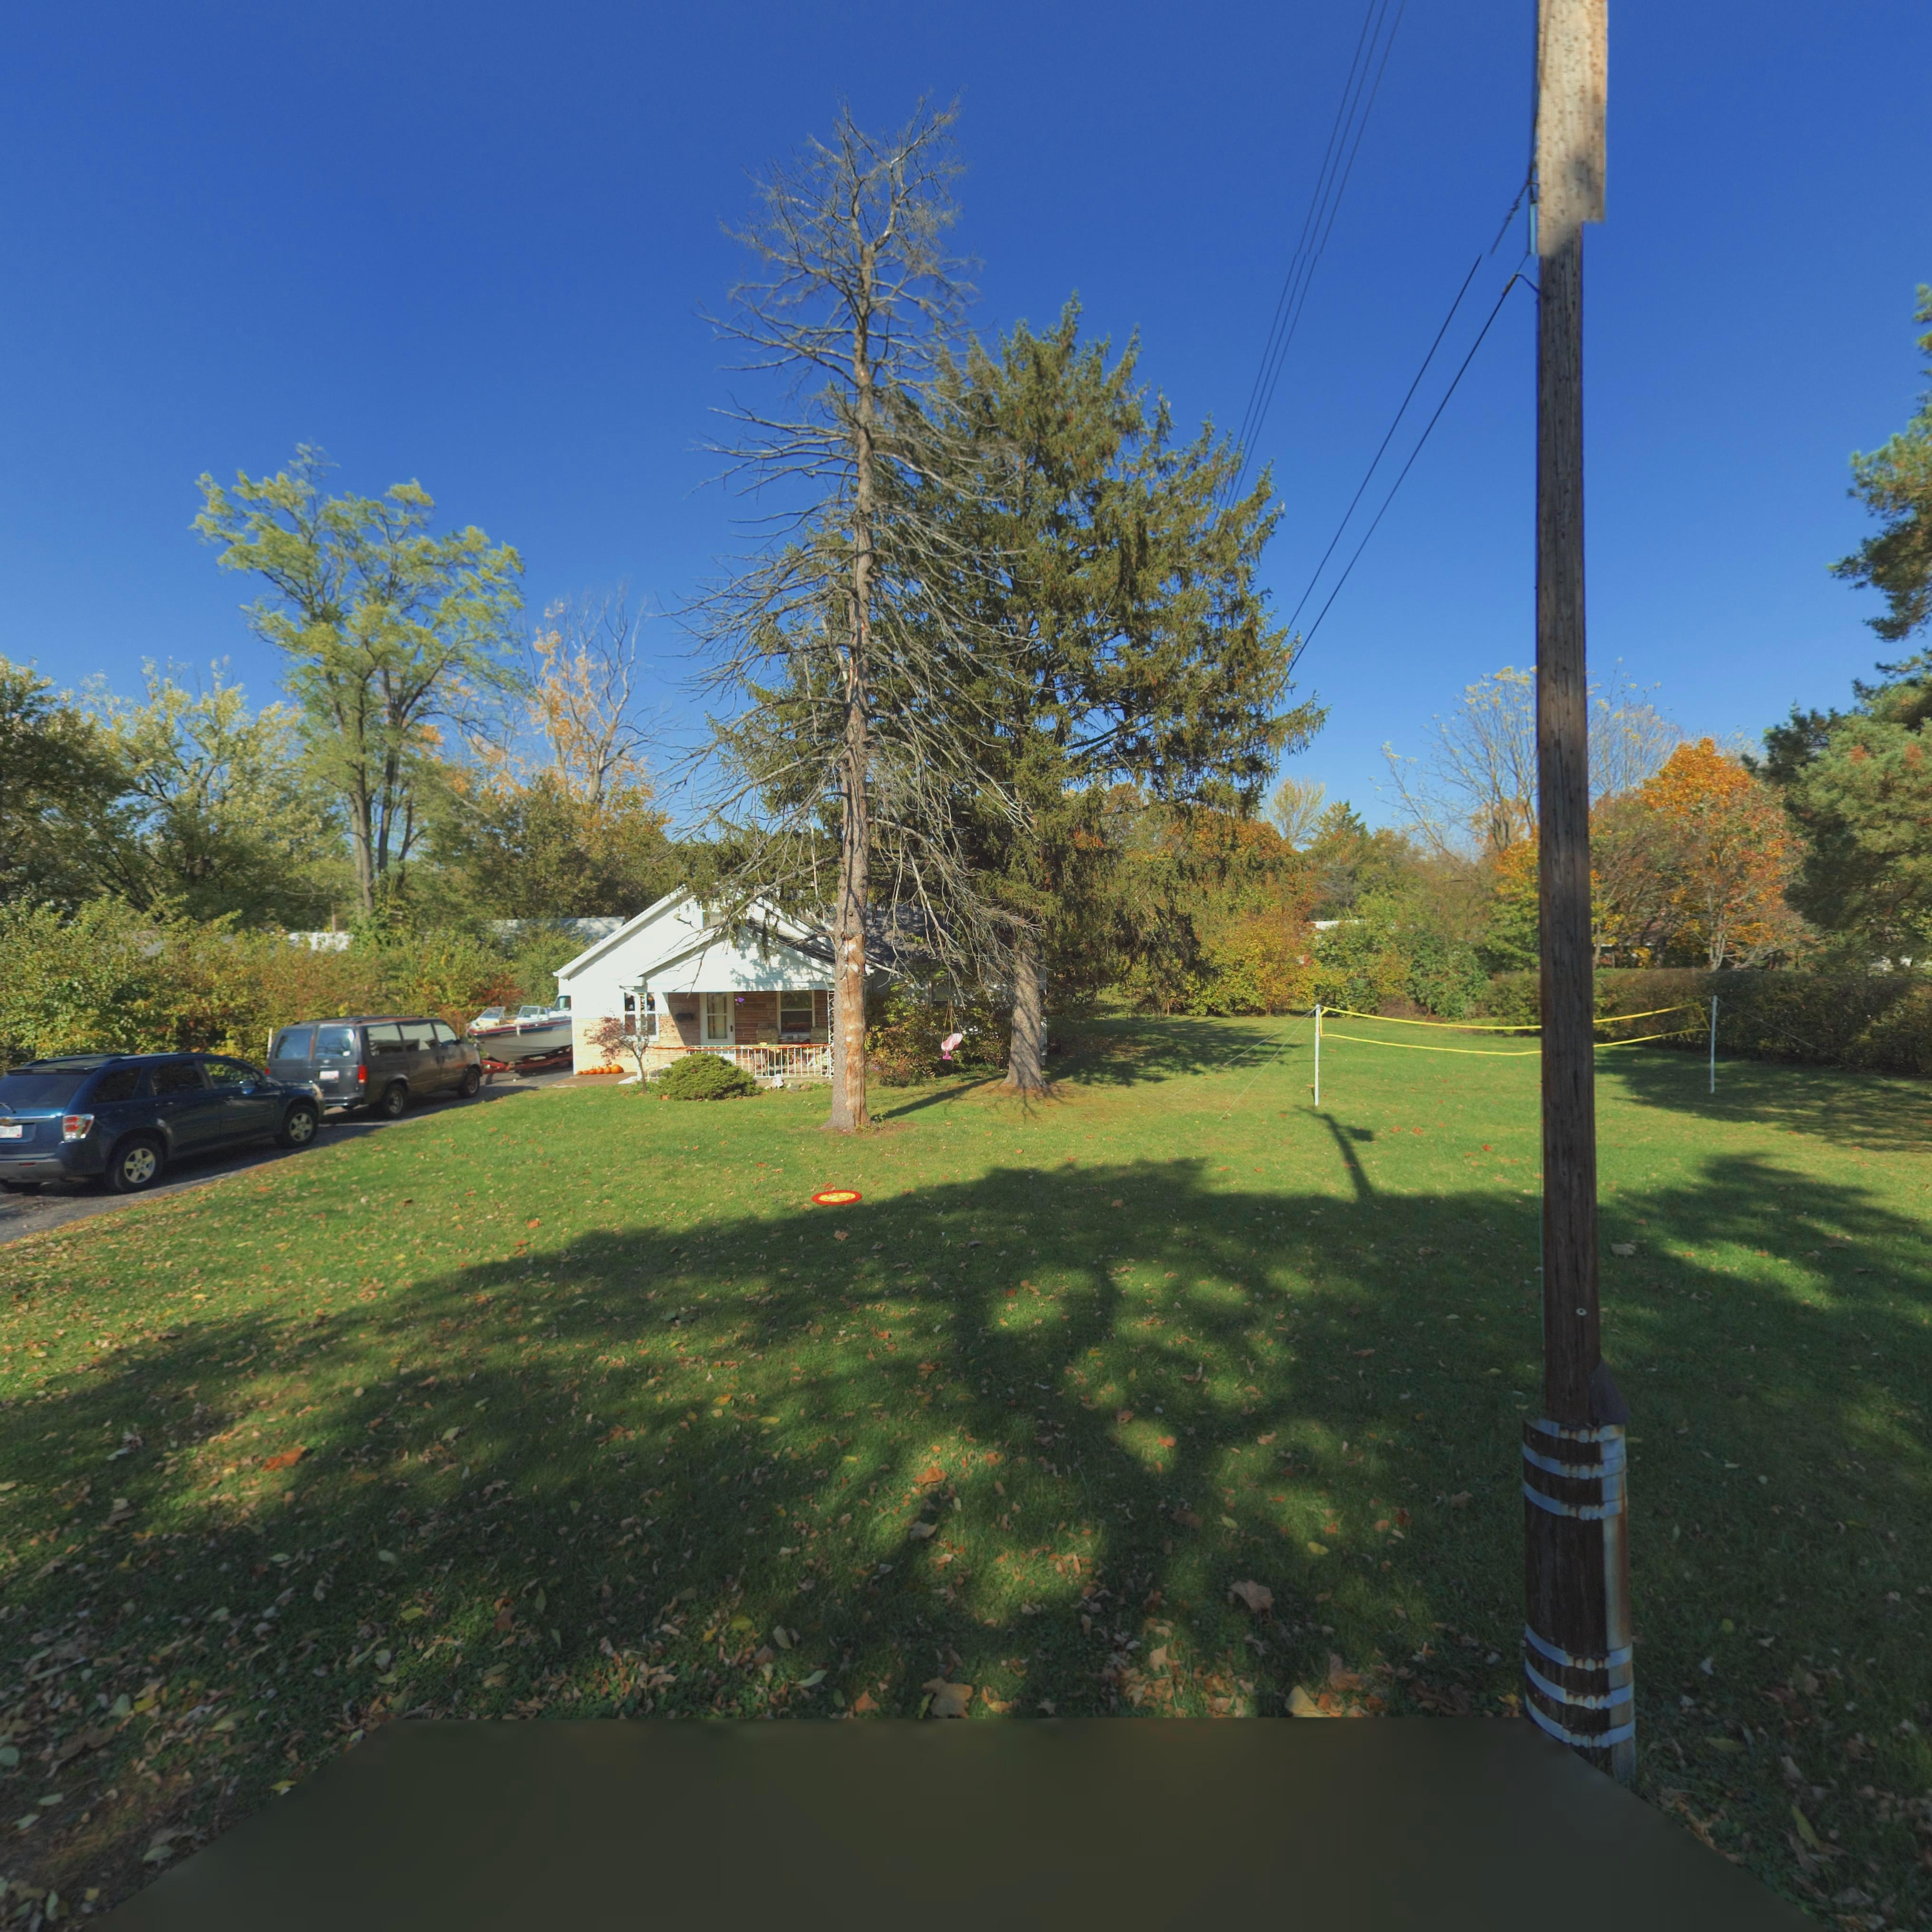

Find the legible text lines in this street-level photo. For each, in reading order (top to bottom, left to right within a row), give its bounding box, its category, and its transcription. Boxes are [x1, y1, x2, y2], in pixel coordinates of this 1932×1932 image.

[0, 1128, 19, 1134] None: GEF 7973